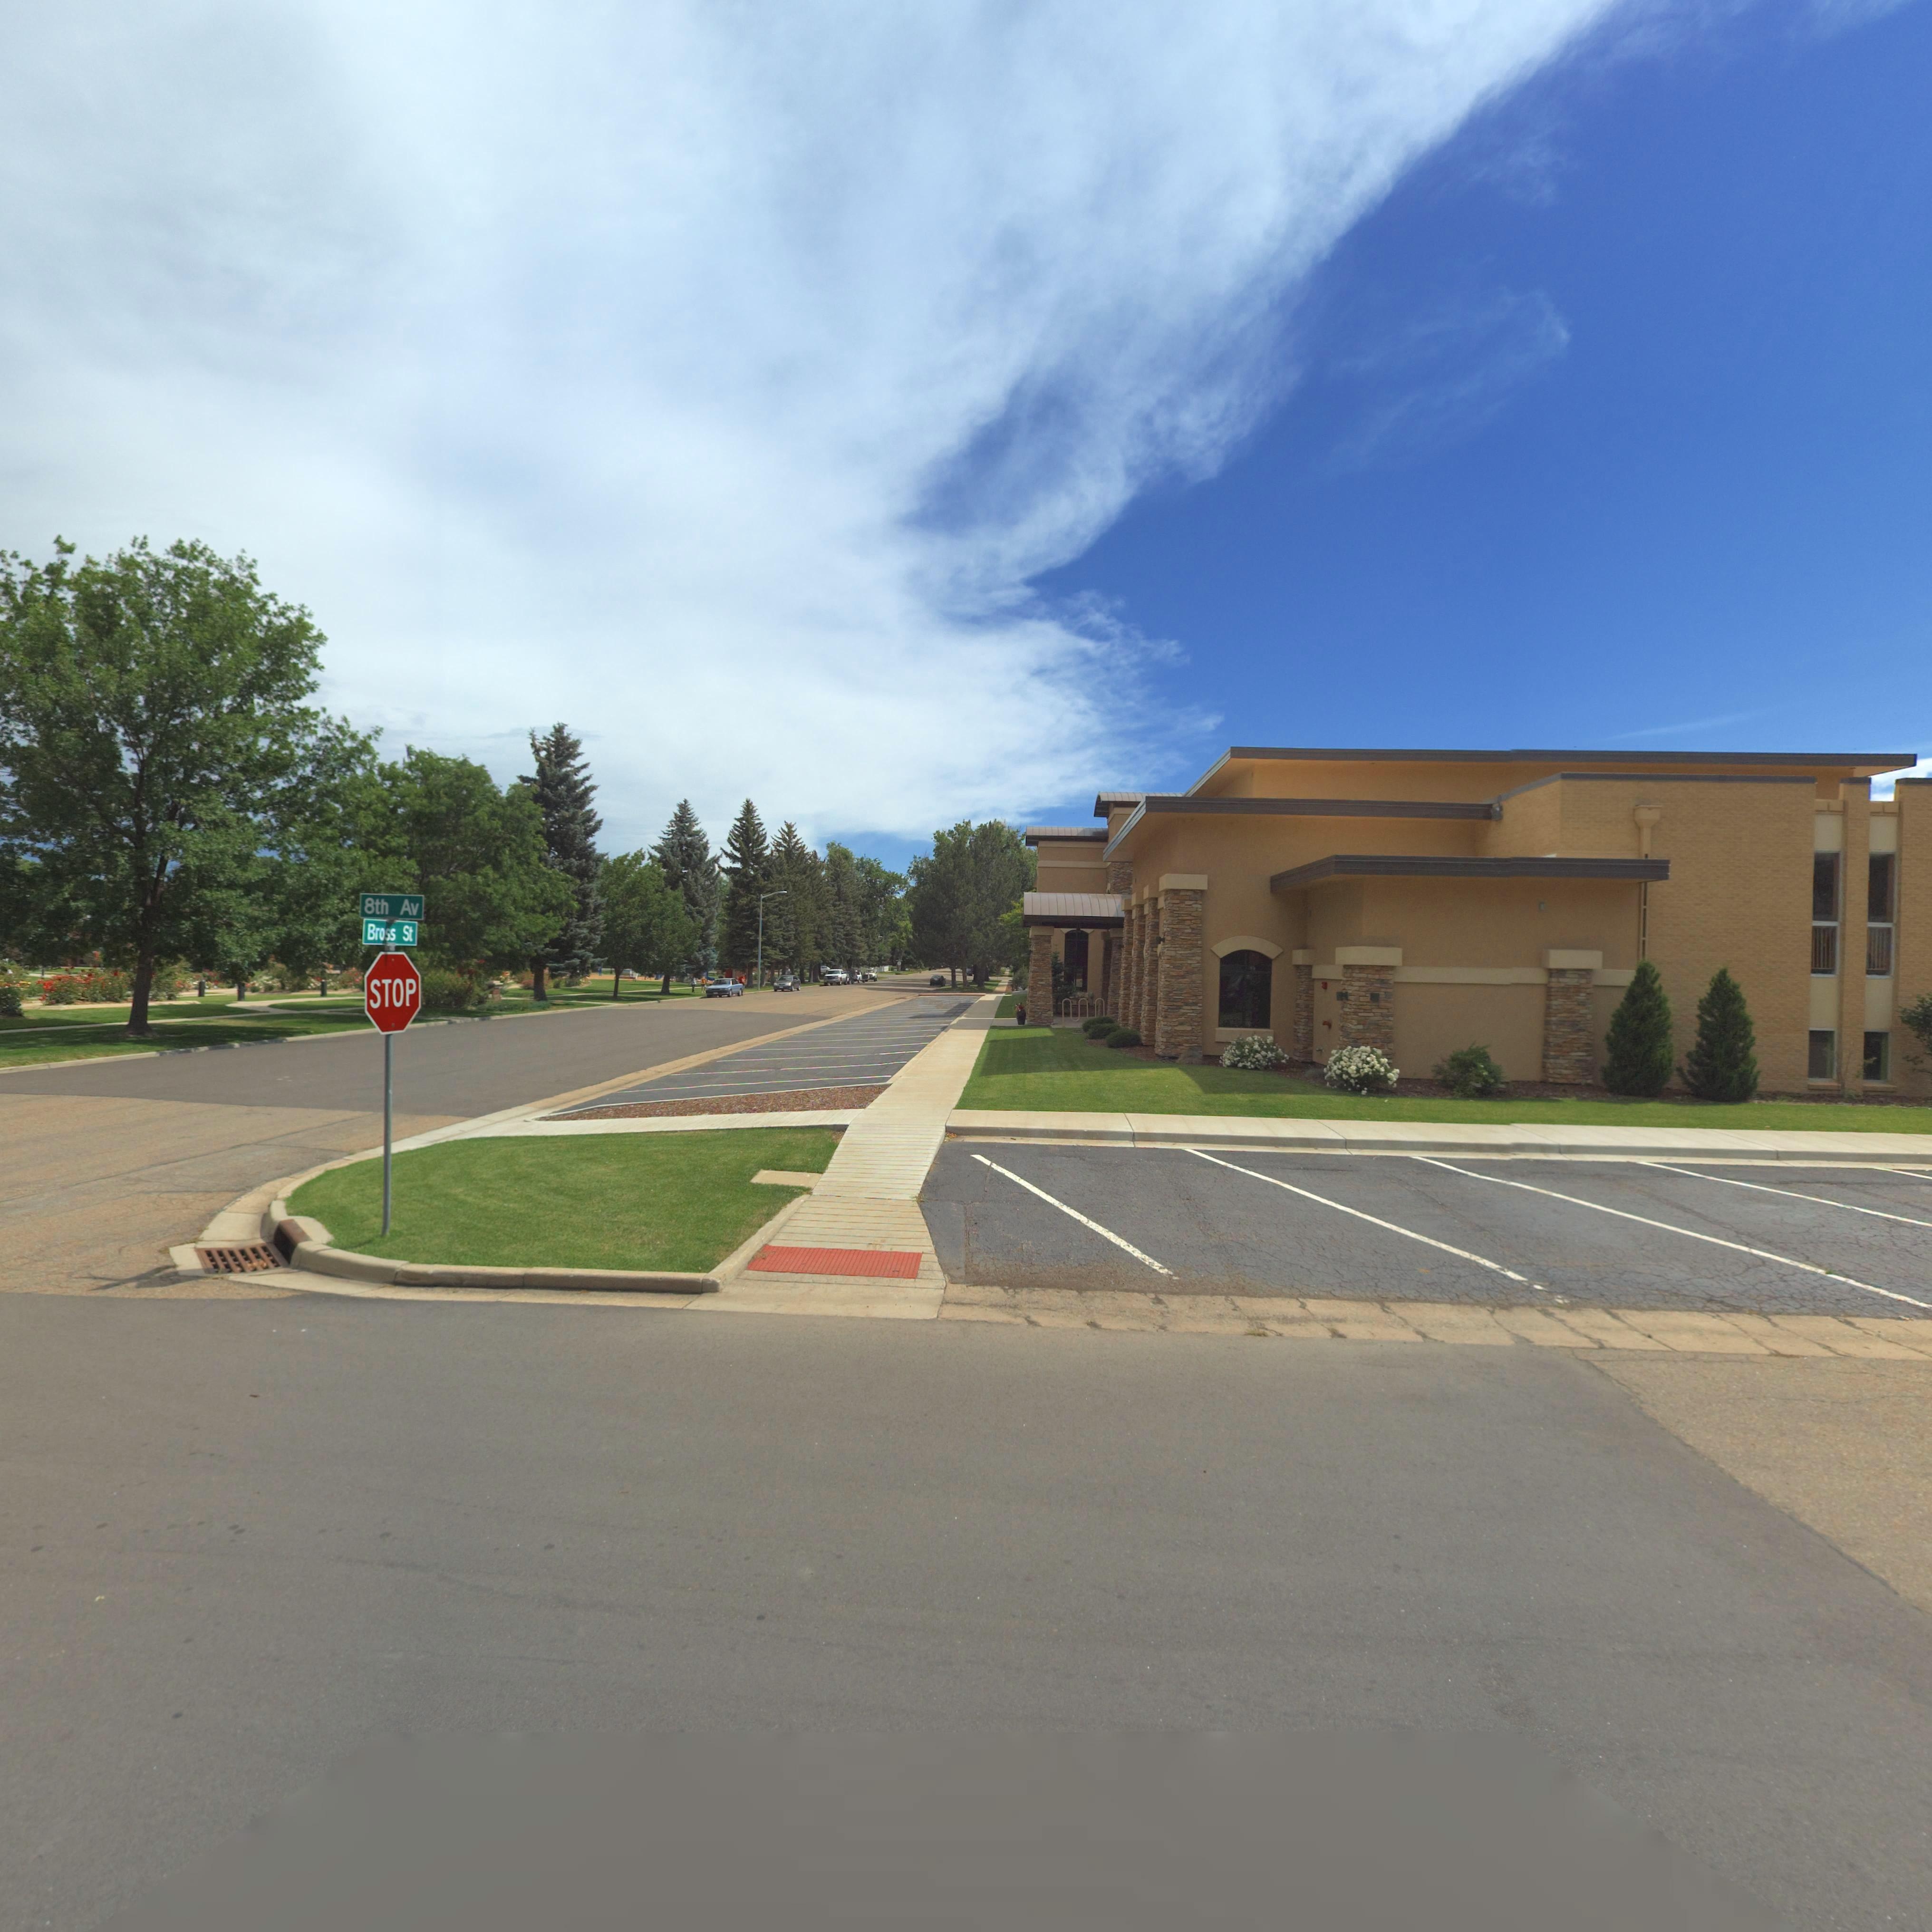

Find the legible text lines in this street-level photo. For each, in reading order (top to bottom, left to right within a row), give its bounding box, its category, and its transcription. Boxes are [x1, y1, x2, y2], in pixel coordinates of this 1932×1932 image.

[364, 897, 419, 916] StreetName: 8th Av
[367, 923, 414, 942] StreetName: Bross St